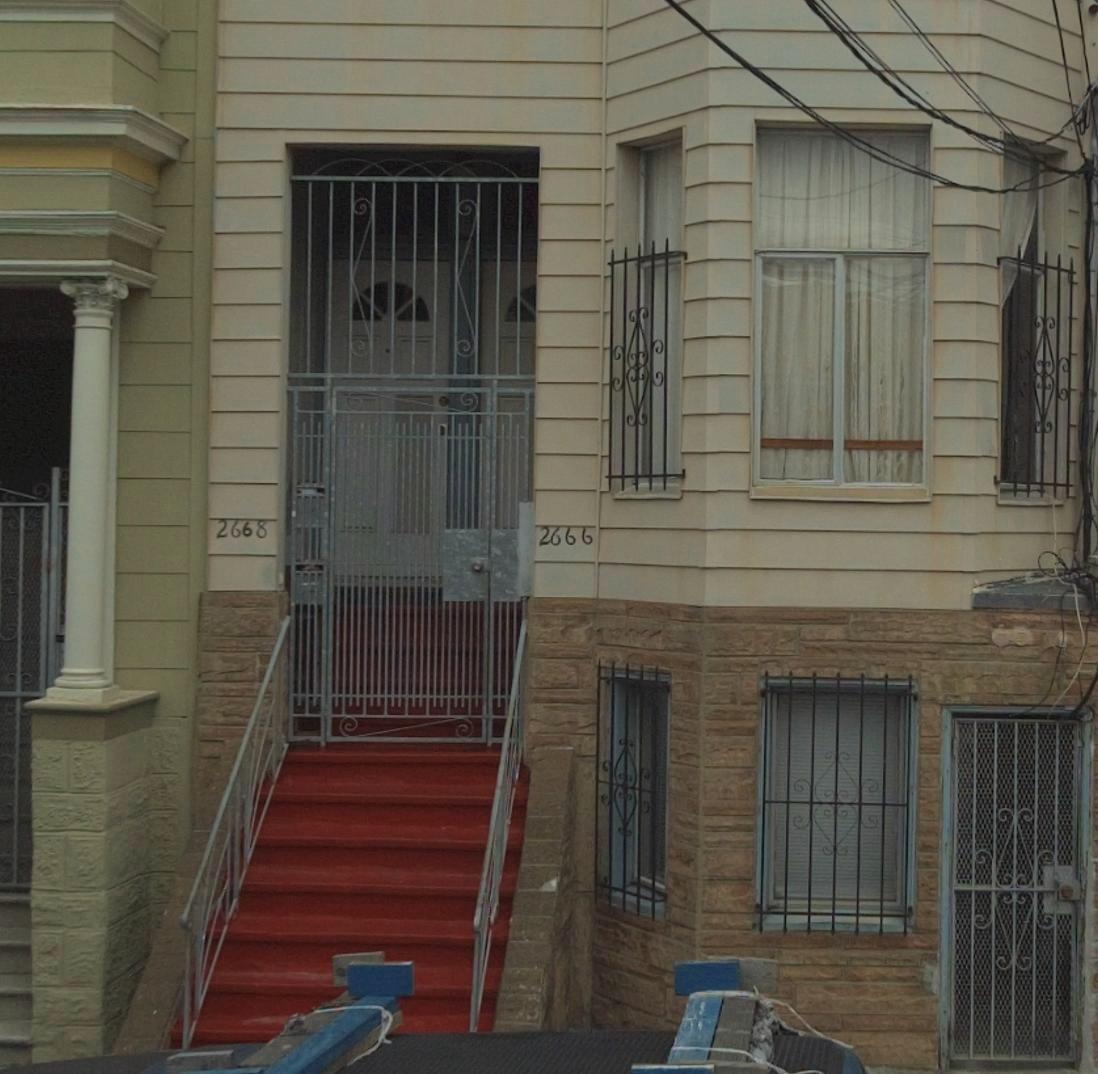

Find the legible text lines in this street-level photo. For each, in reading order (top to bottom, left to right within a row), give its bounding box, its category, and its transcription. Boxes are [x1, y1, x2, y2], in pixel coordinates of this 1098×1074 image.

[214, 517, 269, 540] StreetNumber: 2668
[538, 525, 594, 548] StreetNumber: 2666